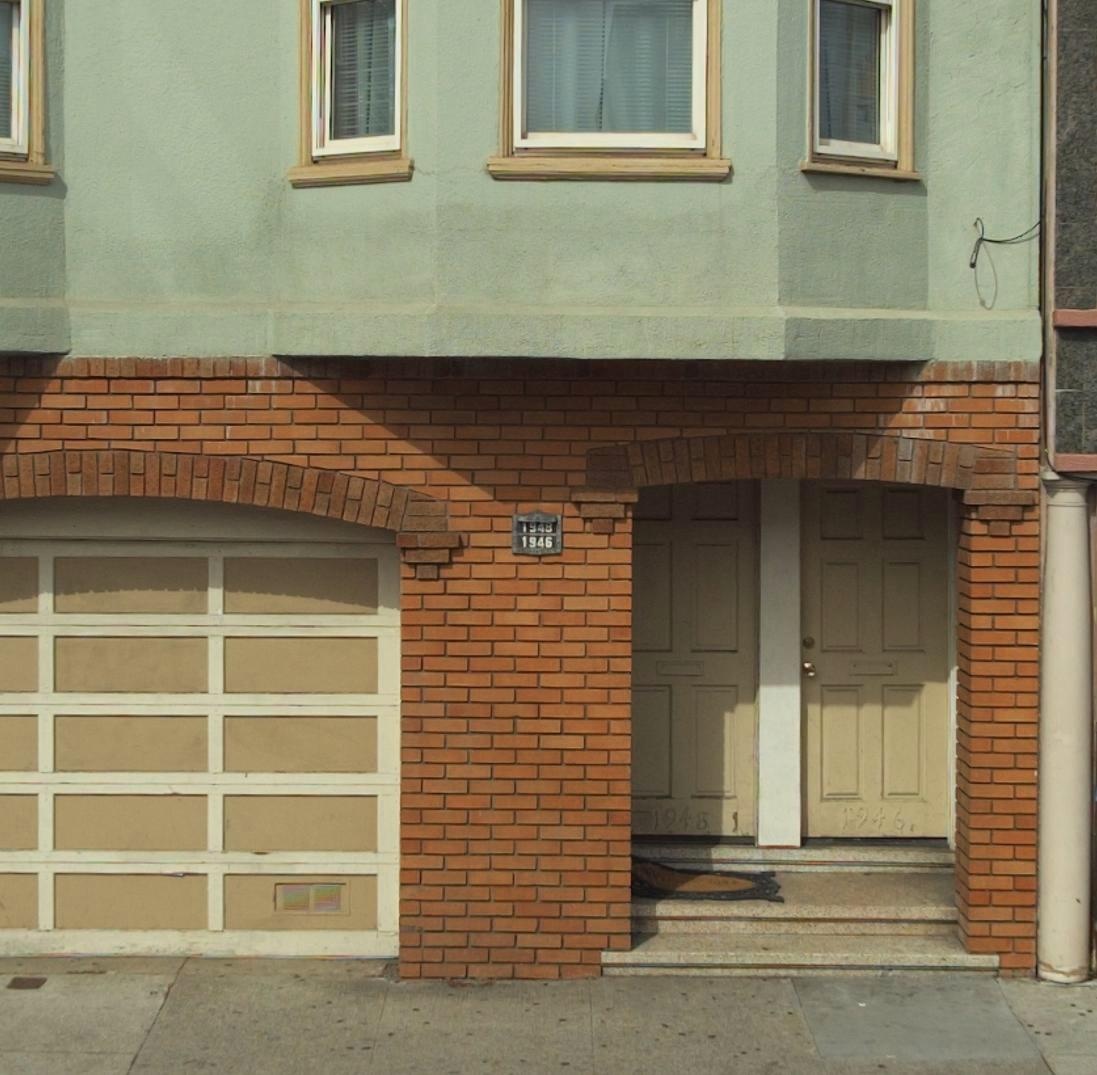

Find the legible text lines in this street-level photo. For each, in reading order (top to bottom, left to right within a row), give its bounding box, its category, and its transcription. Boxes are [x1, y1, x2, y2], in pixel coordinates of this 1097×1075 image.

[522, 522, 553, 533] StreetNumber: 1948
[521, 536, 552, 548] StreetNumber: 1946
[654, 805, 709, 830] StreetNumber: 1948
[842, 805, 906, 830] StreetNumber: 1946